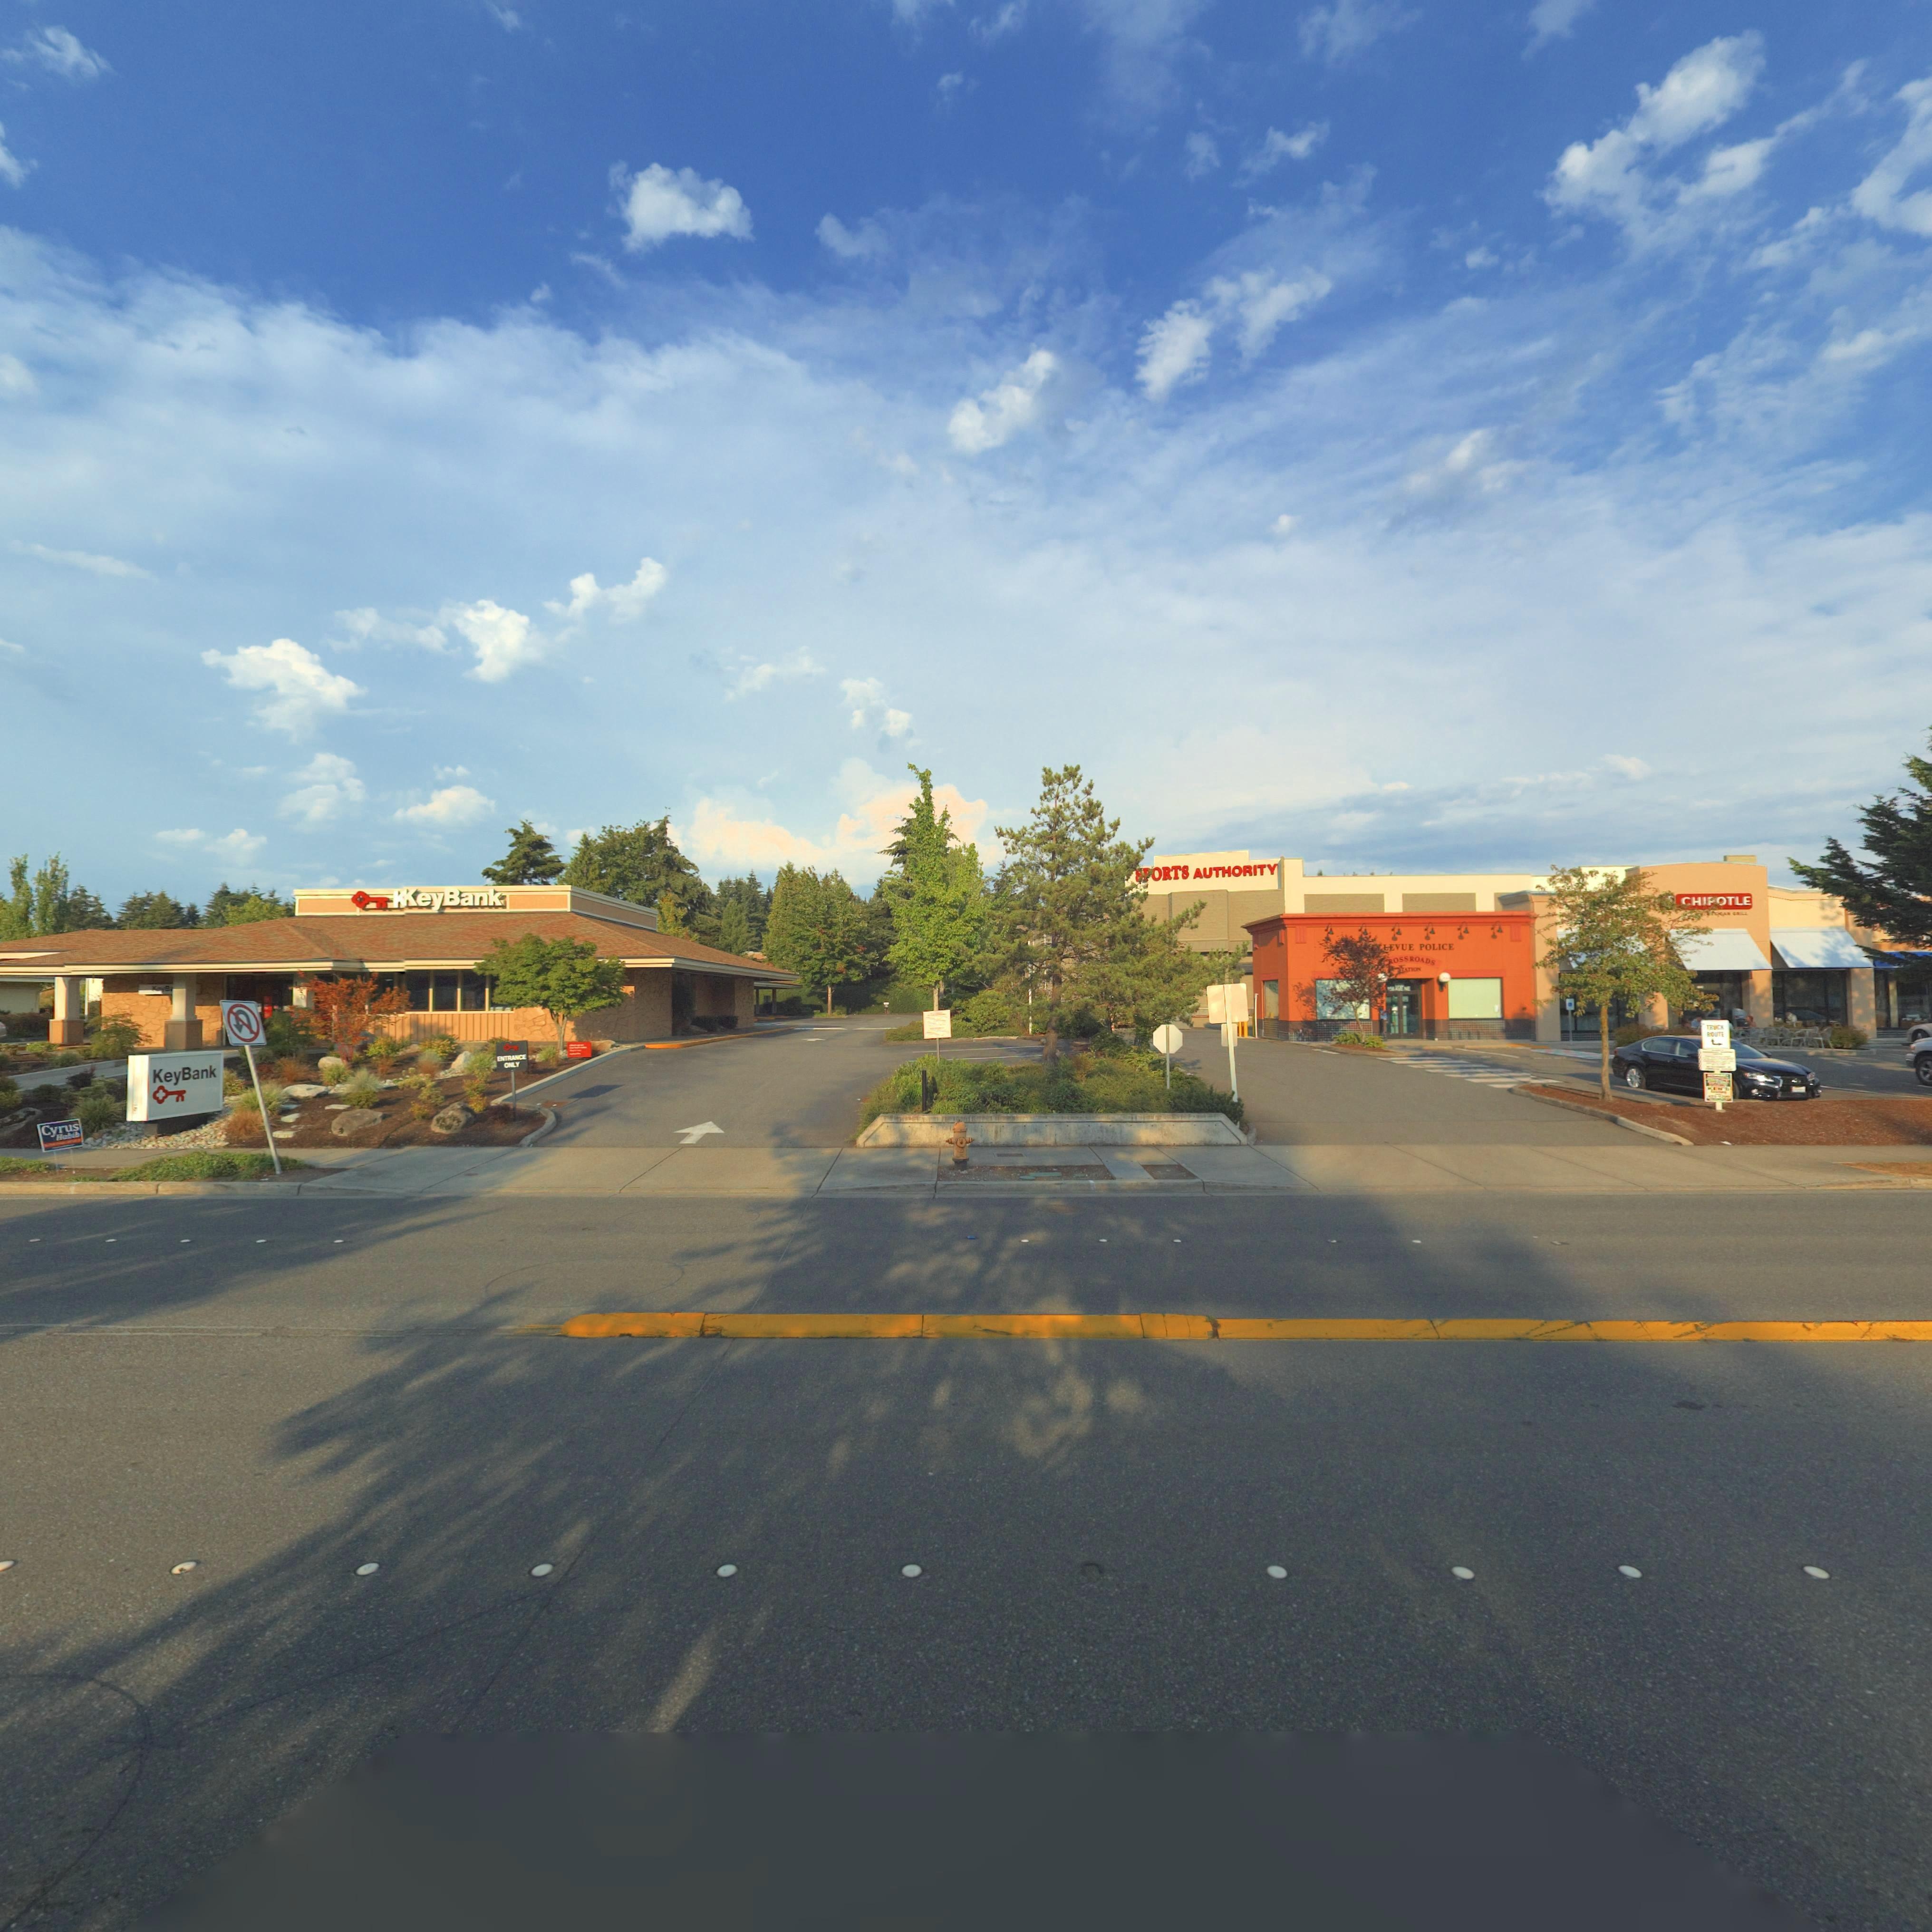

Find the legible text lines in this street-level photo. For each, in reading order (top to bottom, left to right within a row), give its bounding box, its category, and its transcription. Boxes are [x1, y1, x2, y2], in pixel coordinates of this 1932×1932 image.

[1135, 864, 1189, 882] BusinessName: **ORTS
[1193, 862, 1279, 879] BusinessName: AUTHORITY
[393, 888, 505, 912] BusinessName: *KeyBank
[1681, 896, 1751, 905] BusinessName: CHI*OTLE
[1401, 944, 1454, 950] BusinessName: UE POLICE
[152, 1064, 217, 1086] BusinessName: KeyBank